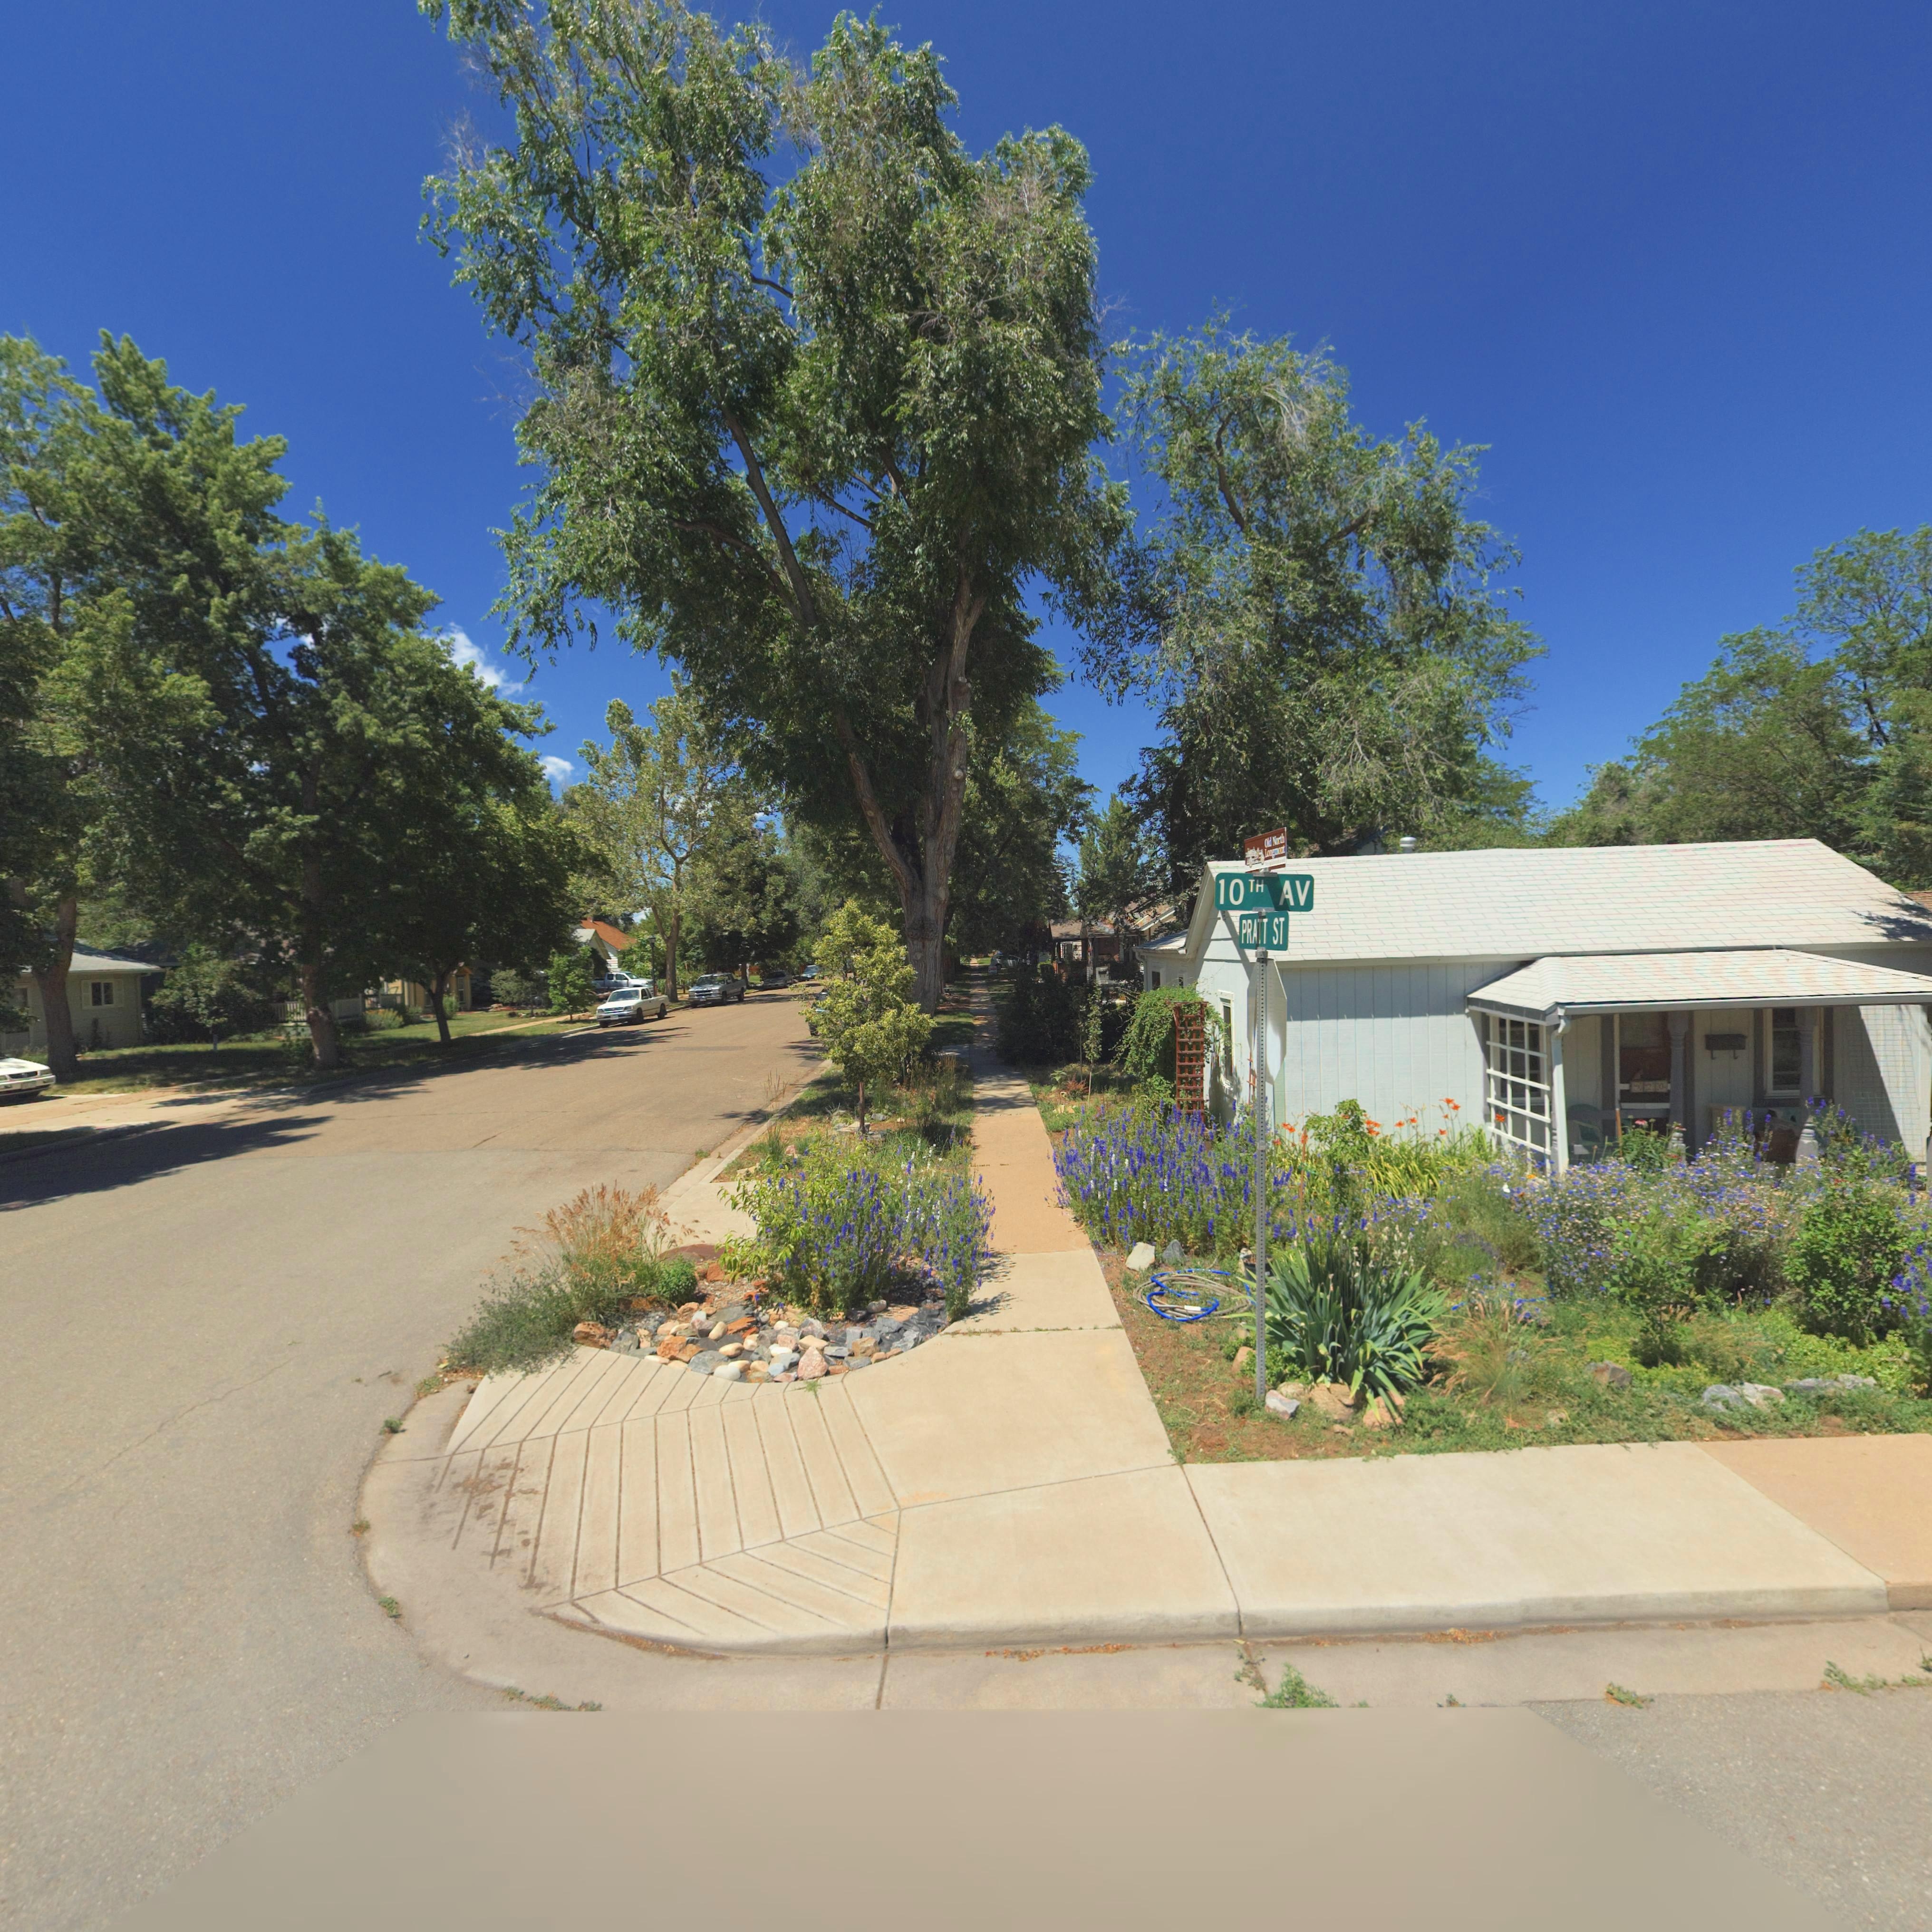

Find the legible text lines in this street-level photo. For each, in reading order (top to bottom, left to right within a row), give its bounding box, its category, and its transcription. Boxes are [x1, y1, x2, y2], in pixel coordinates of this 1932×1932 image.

[1218, 878, 1311, 907] StreetName: 10TH AV
[1241, 917, 1285, 945] StreetName: PRATT ST
[1645, 1082, 1664, 1091] StreetNumber: 20